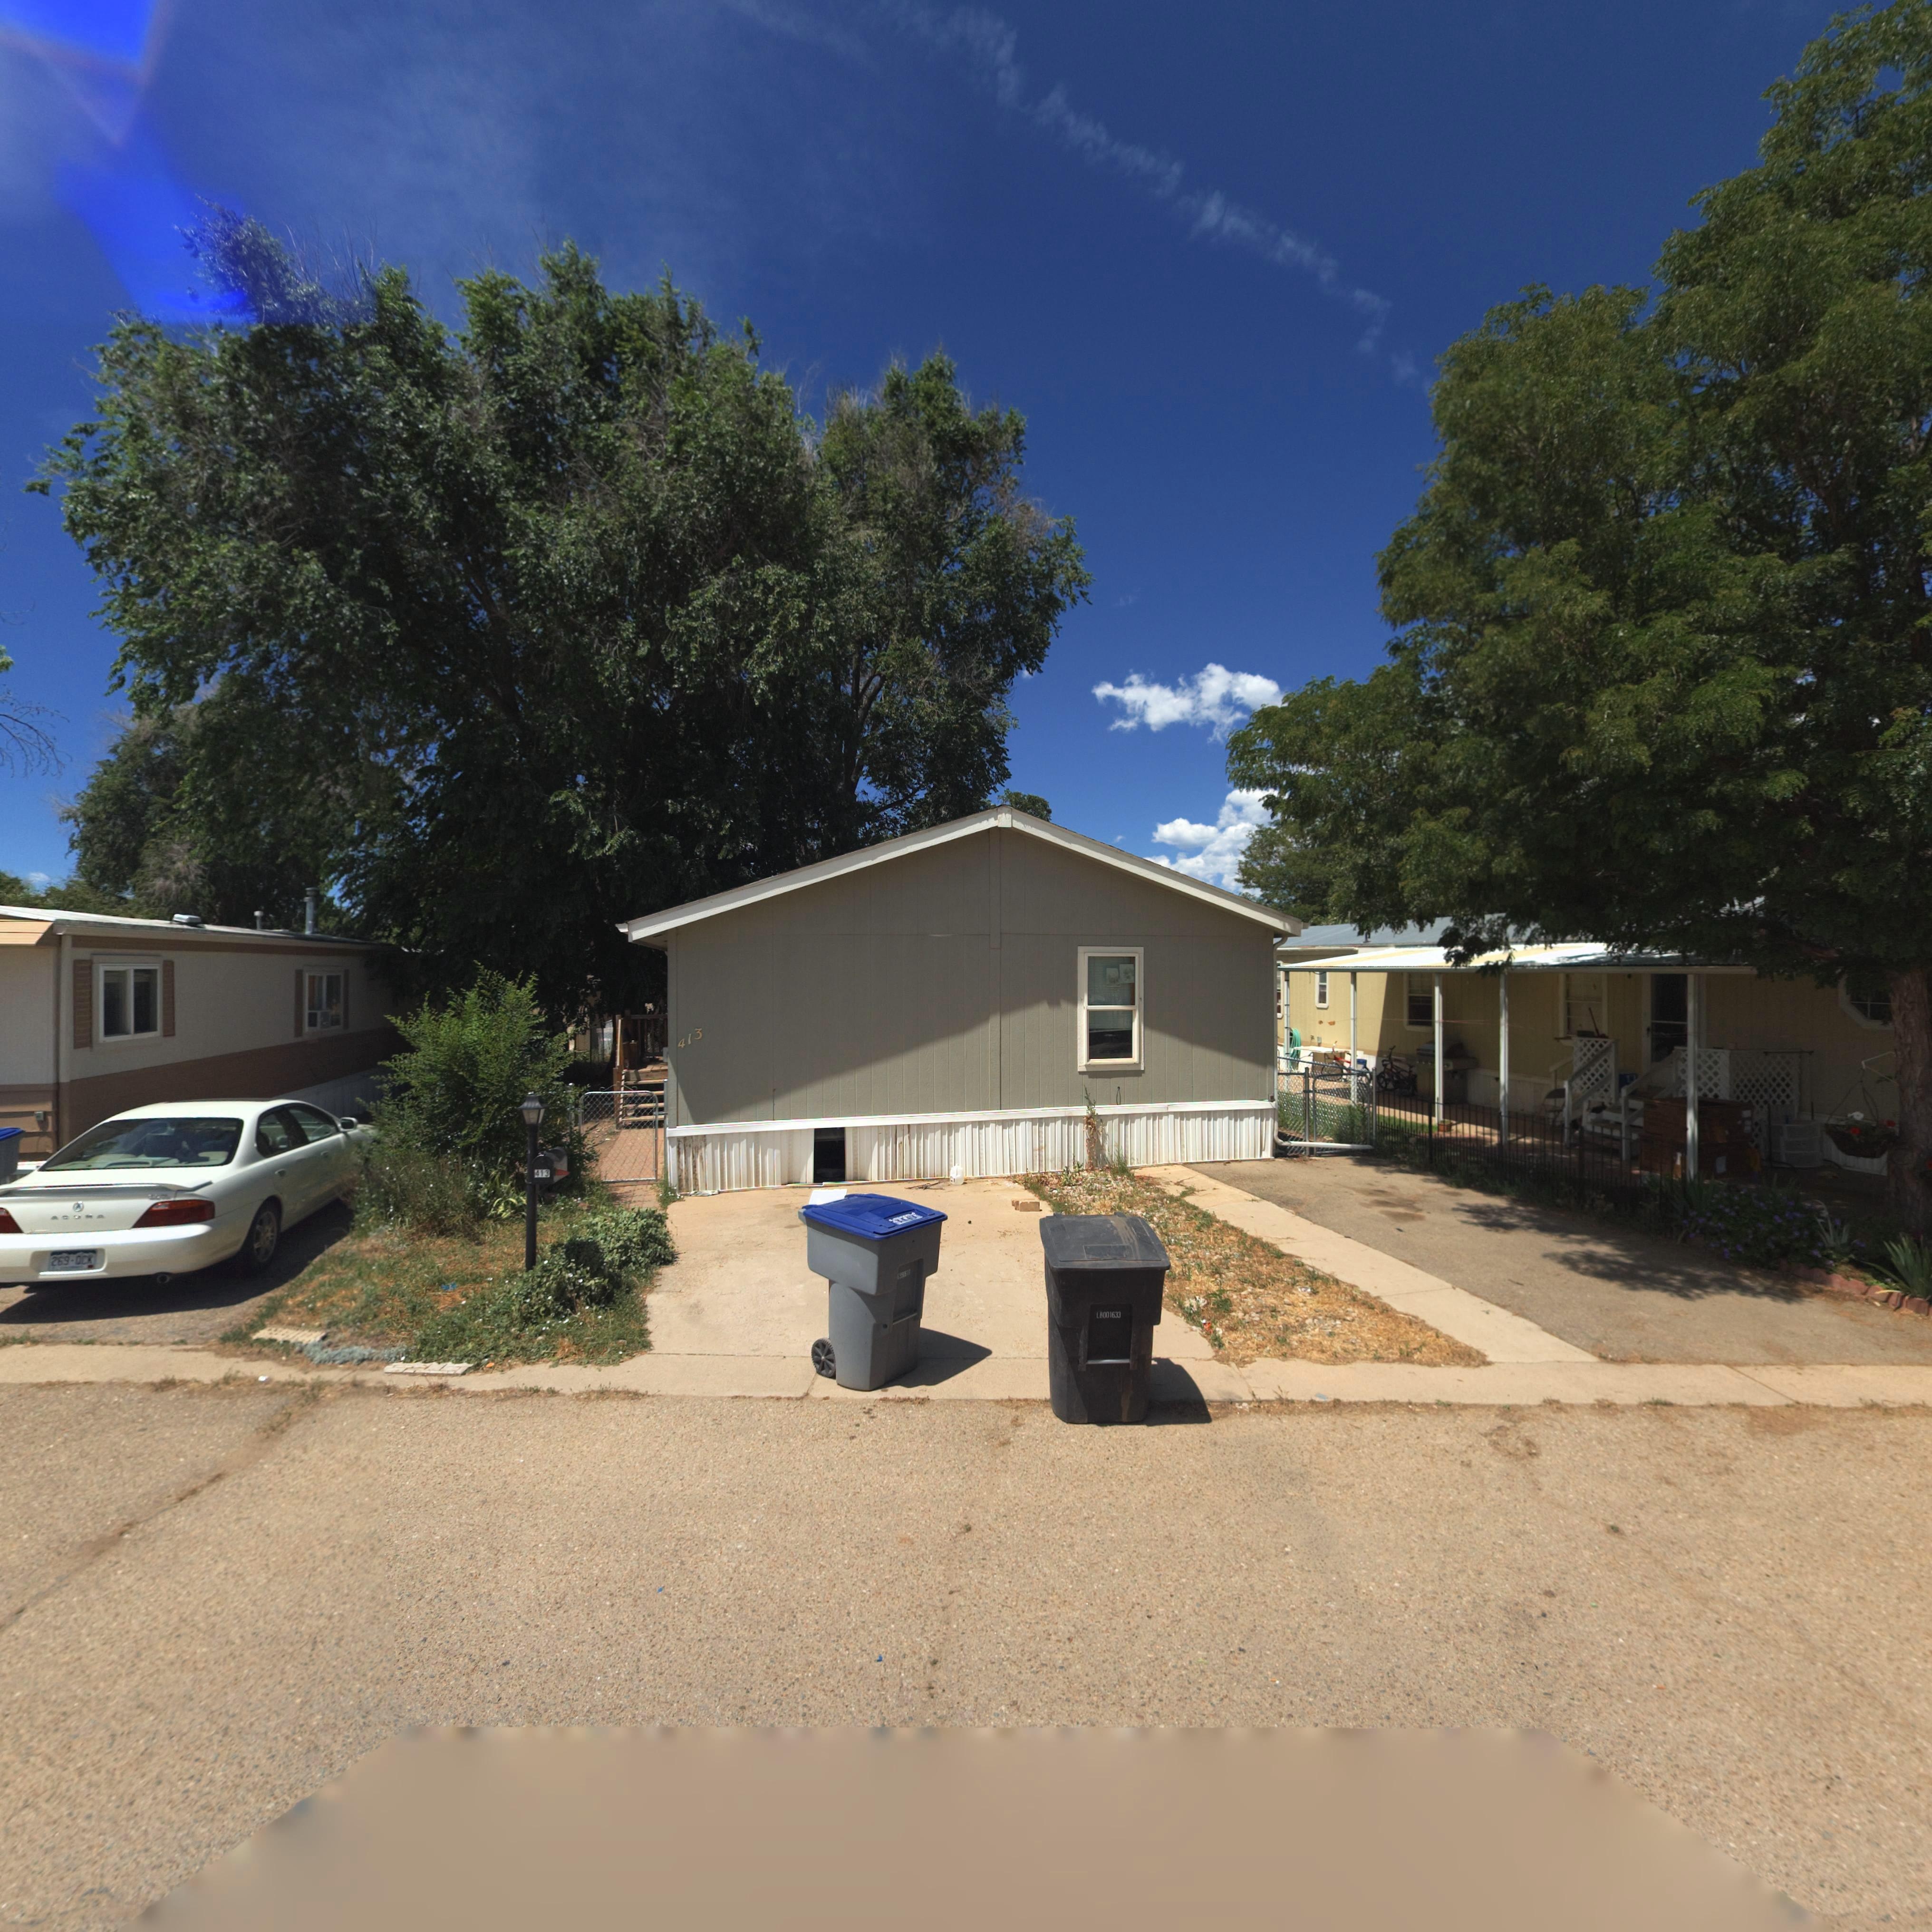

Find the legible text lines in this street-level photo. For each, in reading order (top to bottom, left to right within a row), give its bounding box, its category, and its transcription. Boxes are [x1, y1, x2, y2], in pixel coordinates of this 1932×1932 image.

[676, 1027, 703, 1049] StreetNumber: 413
[534, 1169, 549, 1177] StreetNumber: 413